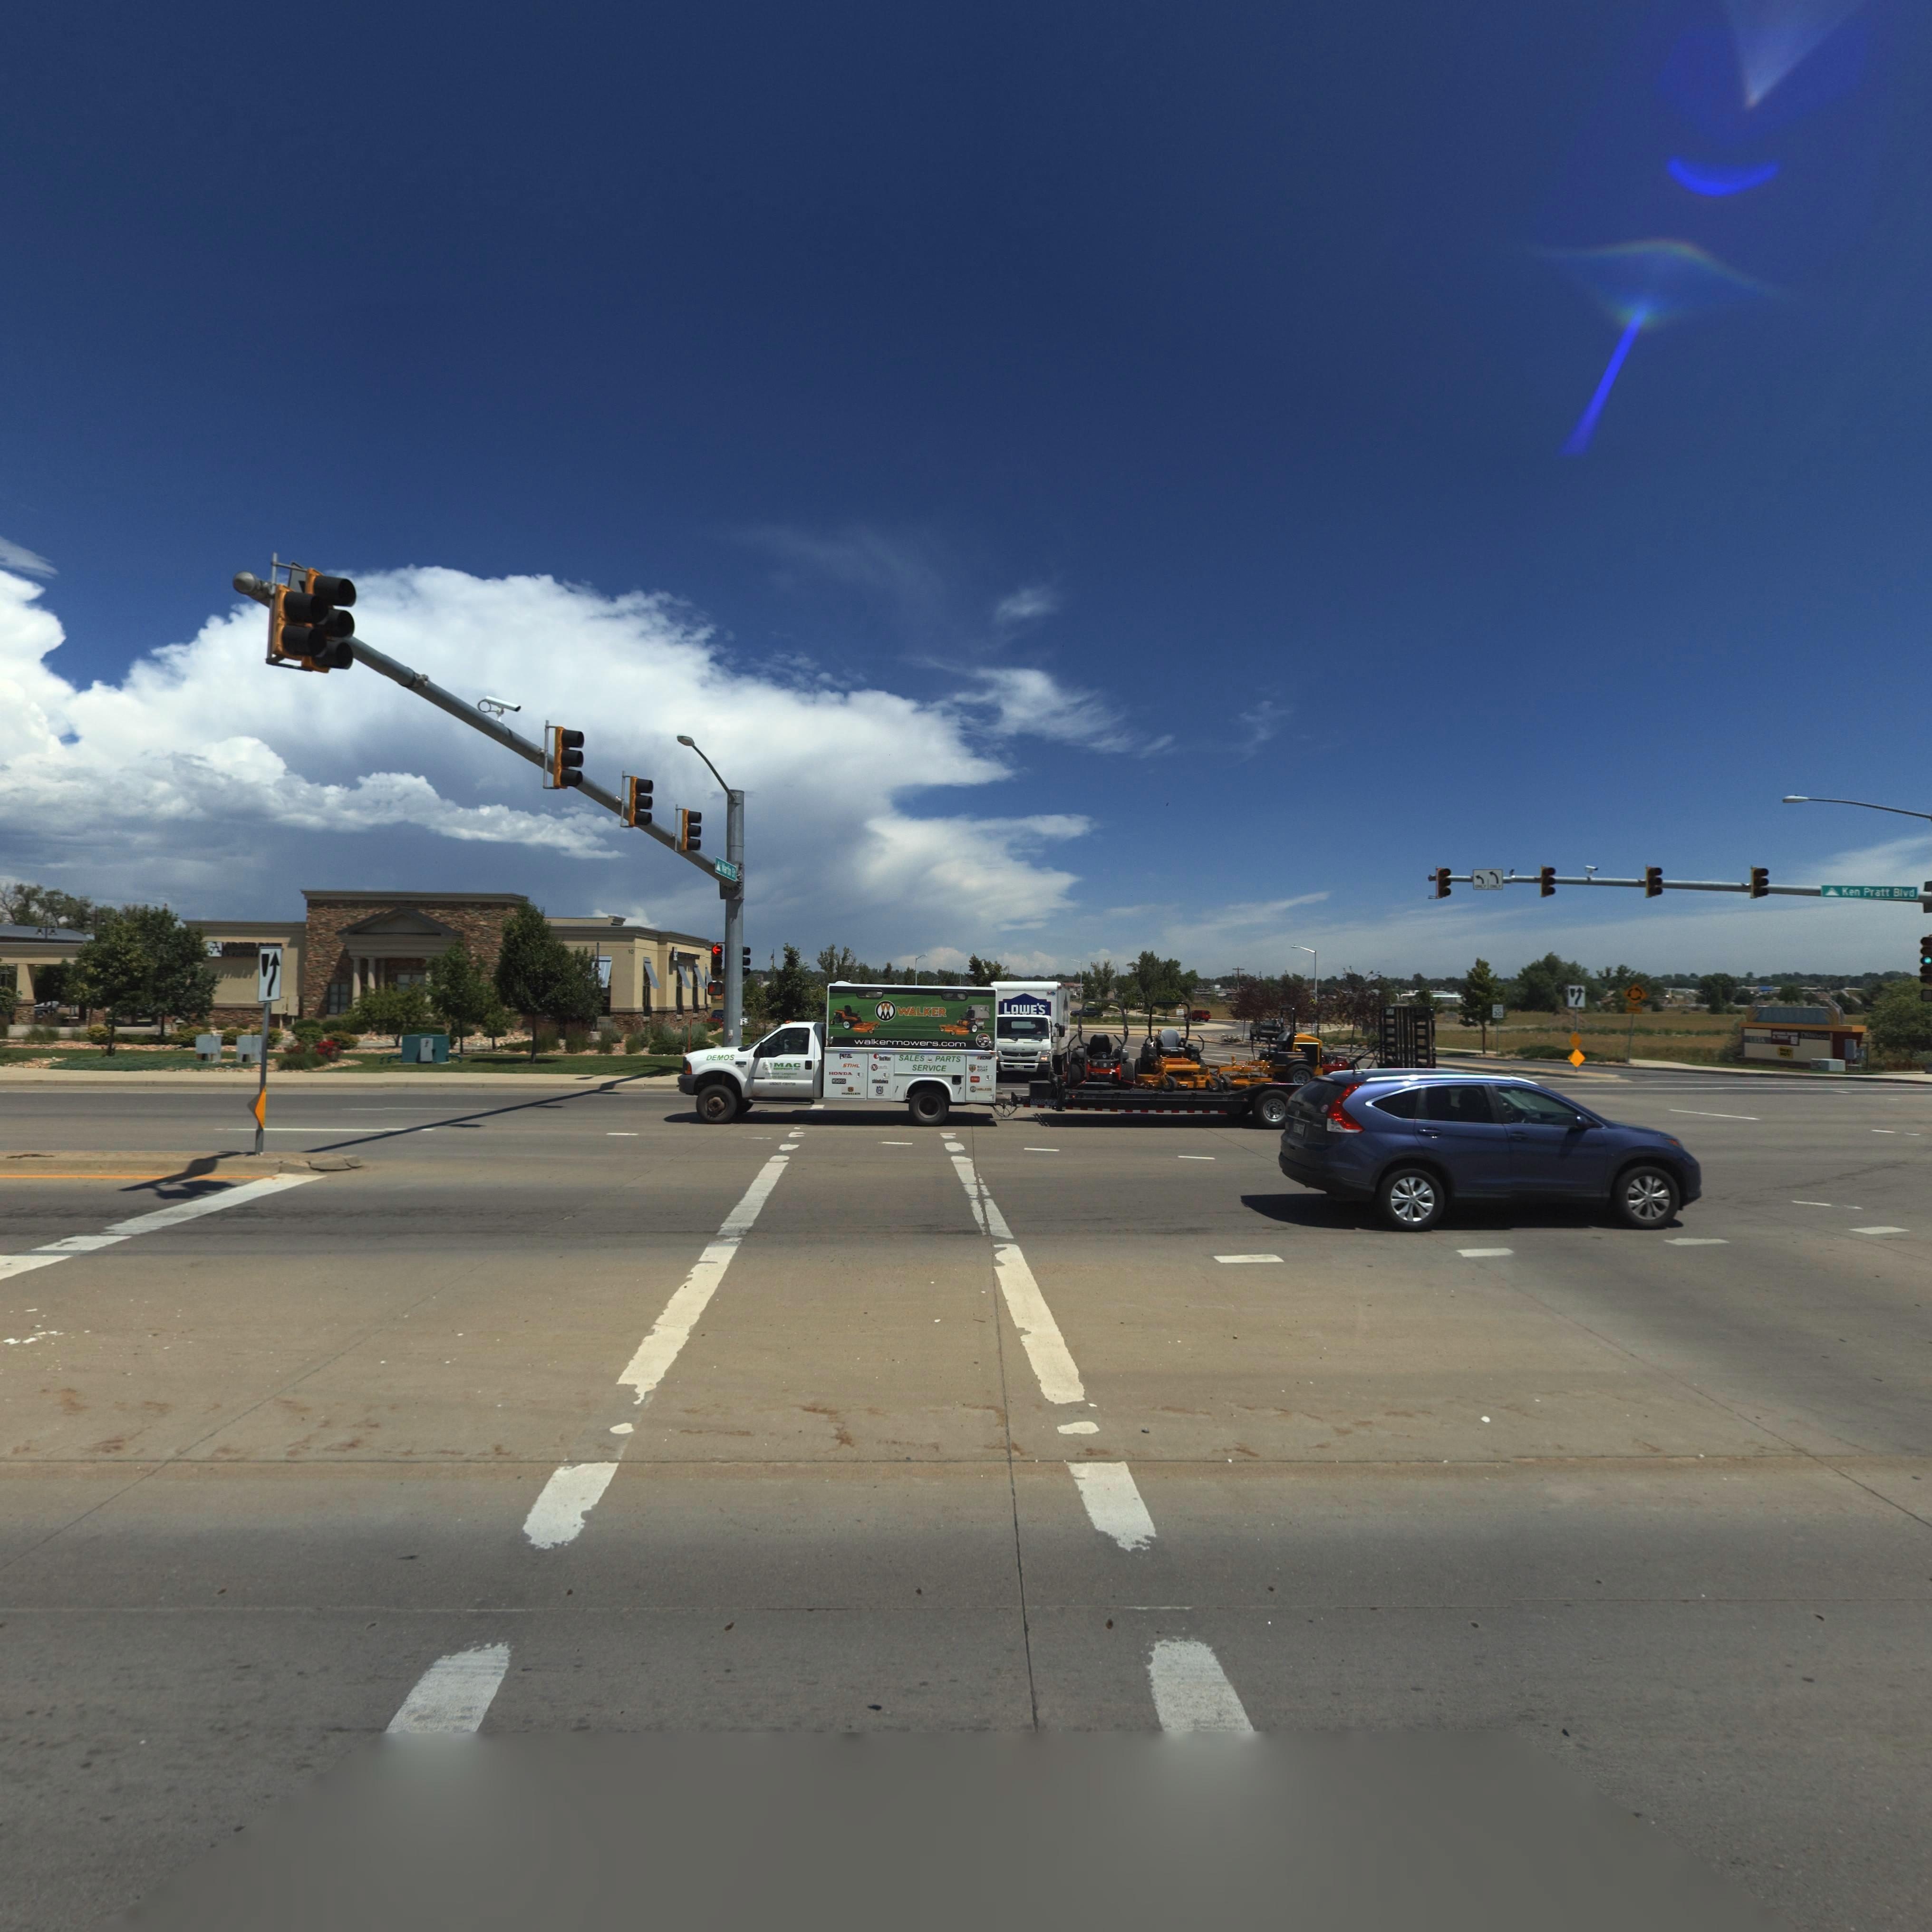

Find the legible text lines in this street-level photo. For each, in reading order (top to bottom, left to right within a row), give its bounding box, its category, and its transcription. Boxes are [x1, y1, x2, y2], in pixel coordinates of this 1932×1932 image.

[721, 861, 736, 879] StreetName: Martin St
[1841, 886, 1915, 898] StreetName: Ken Pratt Blvd
[628, 949, 634, 954] StreetNumber: 10
[1801, 1031, 1829, 1039] BusinessName: DSWS*OE*
[1749, 1035, 1767, 1043] BusinessName: ULTA
[1779, 1046, 1792, 1053] BusinessName: **ST
[1779, 1051, 1791, 1057] BusinessName: *UY